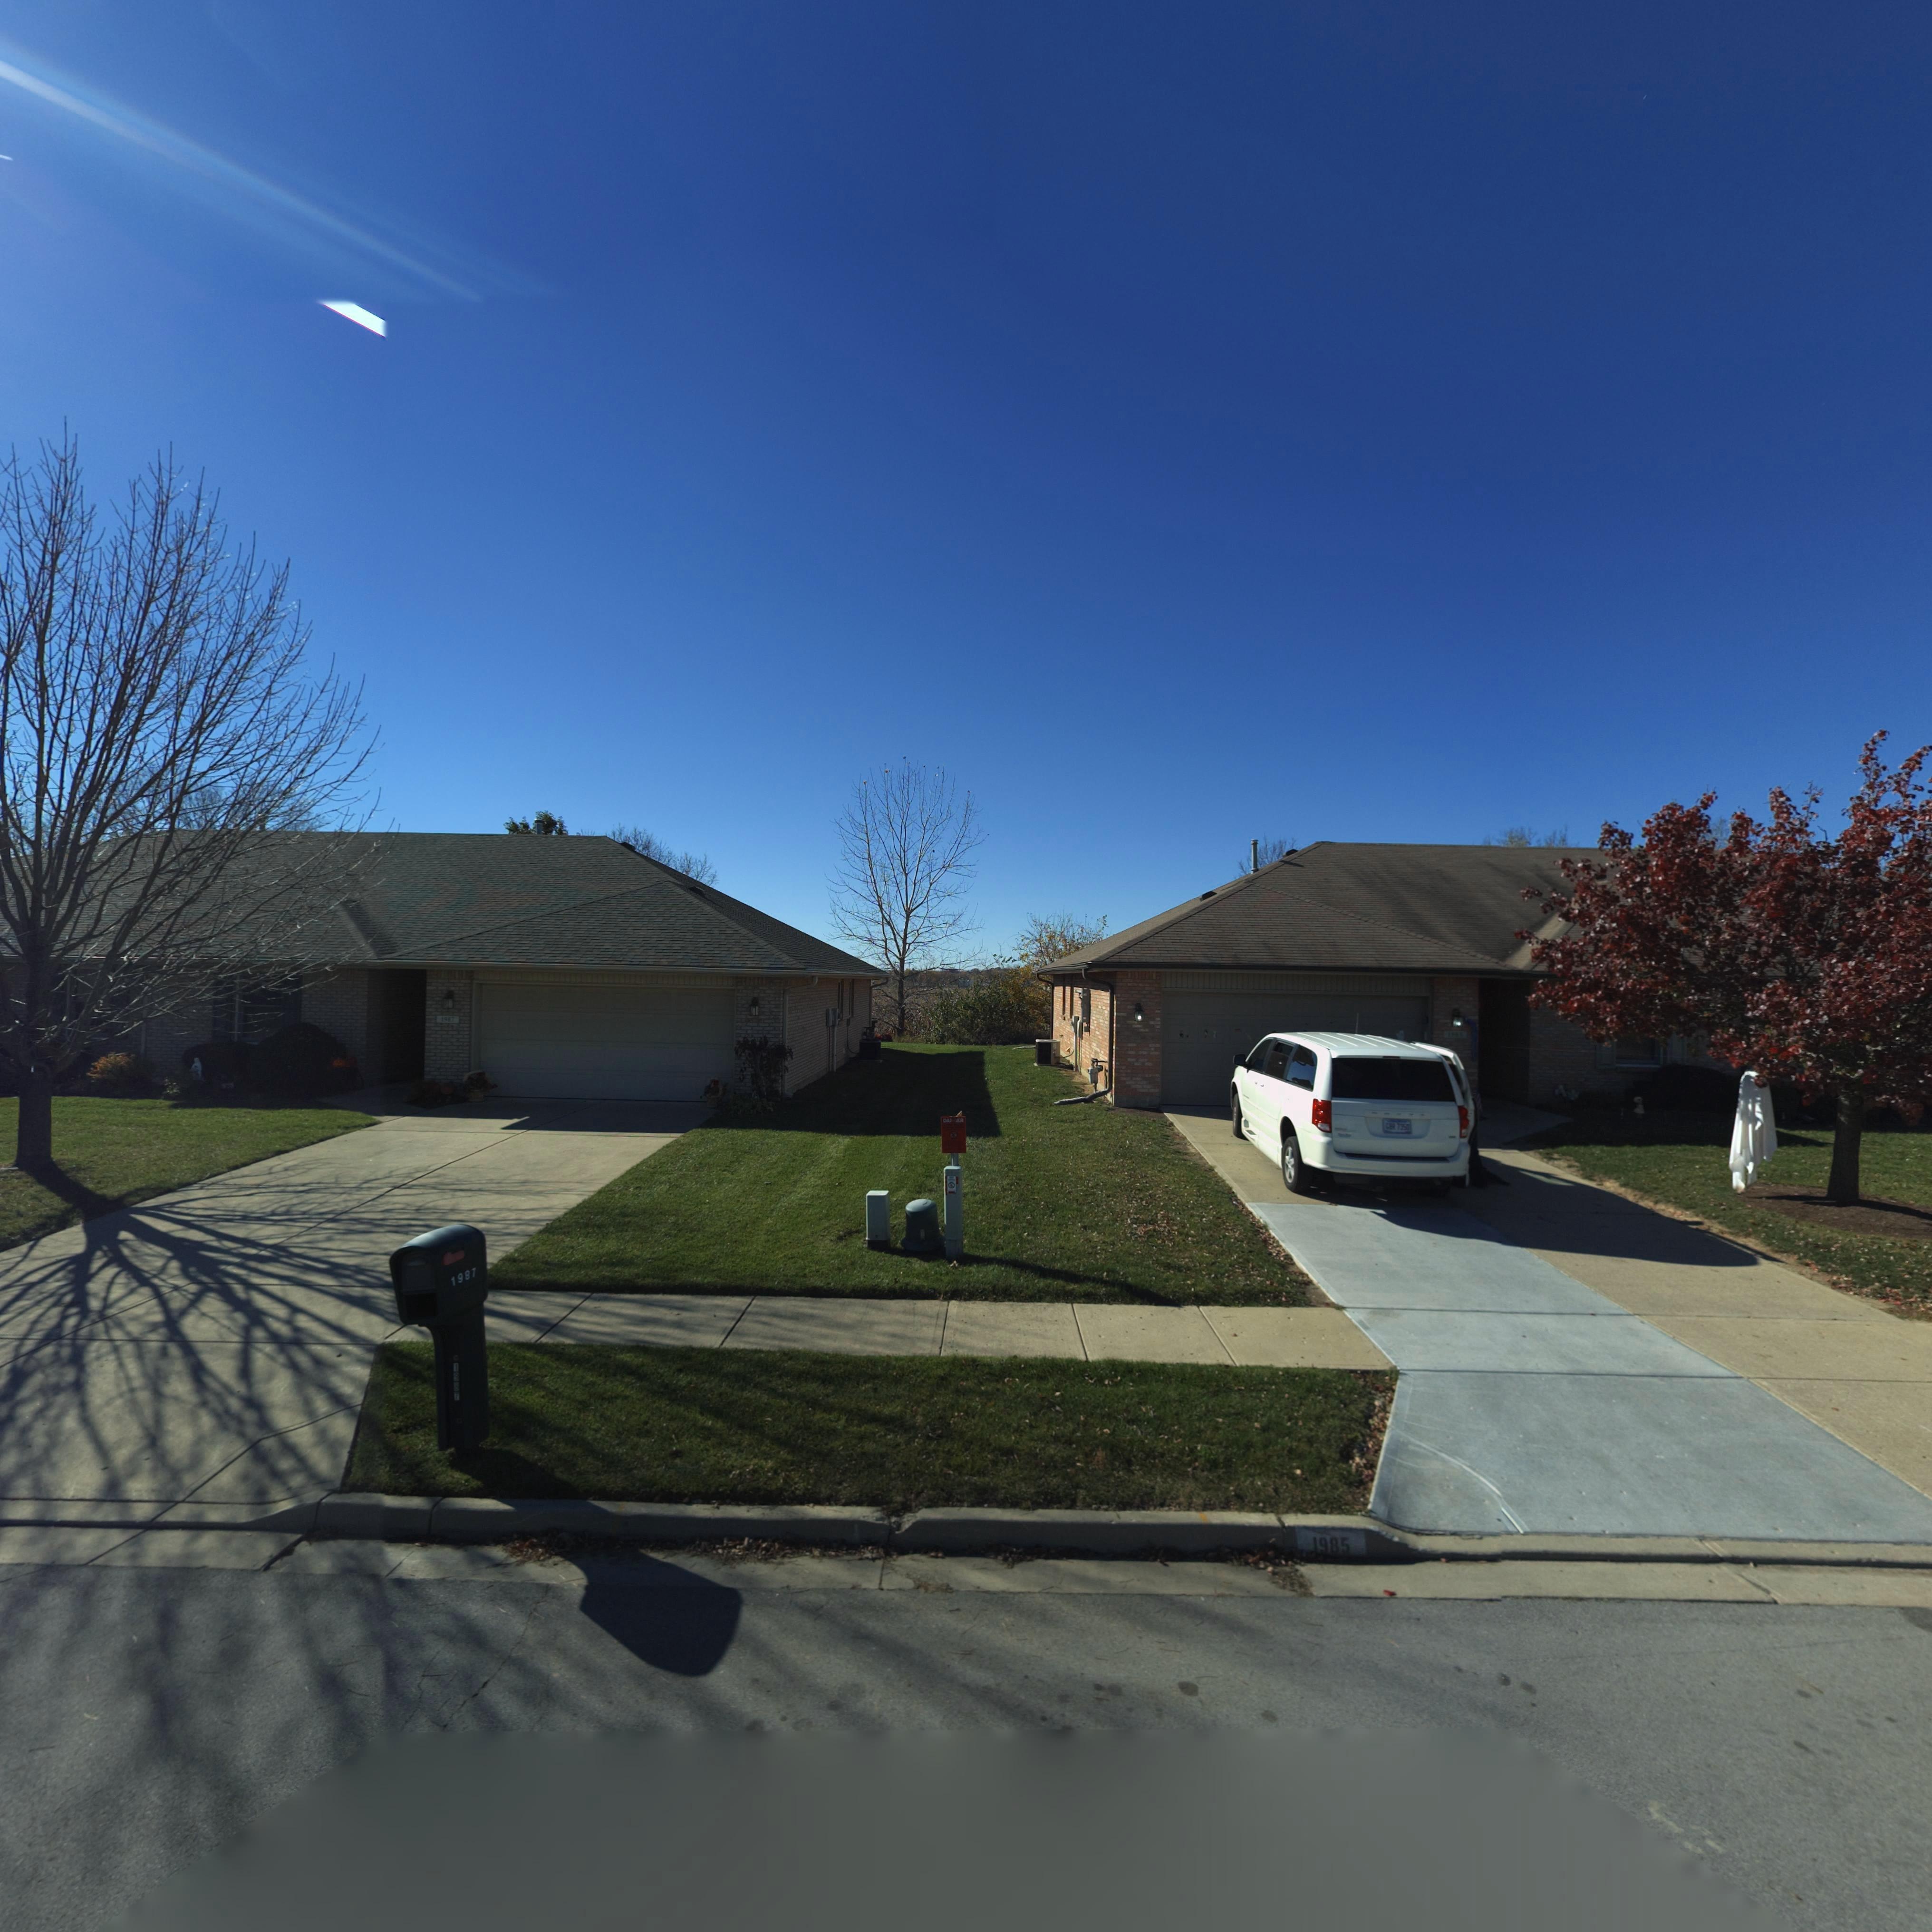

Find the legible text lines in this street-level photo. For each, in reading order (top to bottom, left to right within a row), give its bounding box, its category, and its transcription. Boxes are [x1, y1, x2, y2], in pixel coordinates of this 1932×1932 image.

[441, 1016, 455, 1023] StreetNumber: 1987
[450, 1265, 477, 1288] StreetNumber: 1987
[1311, 1535, 1352, 1555] StreetNumber: 1985